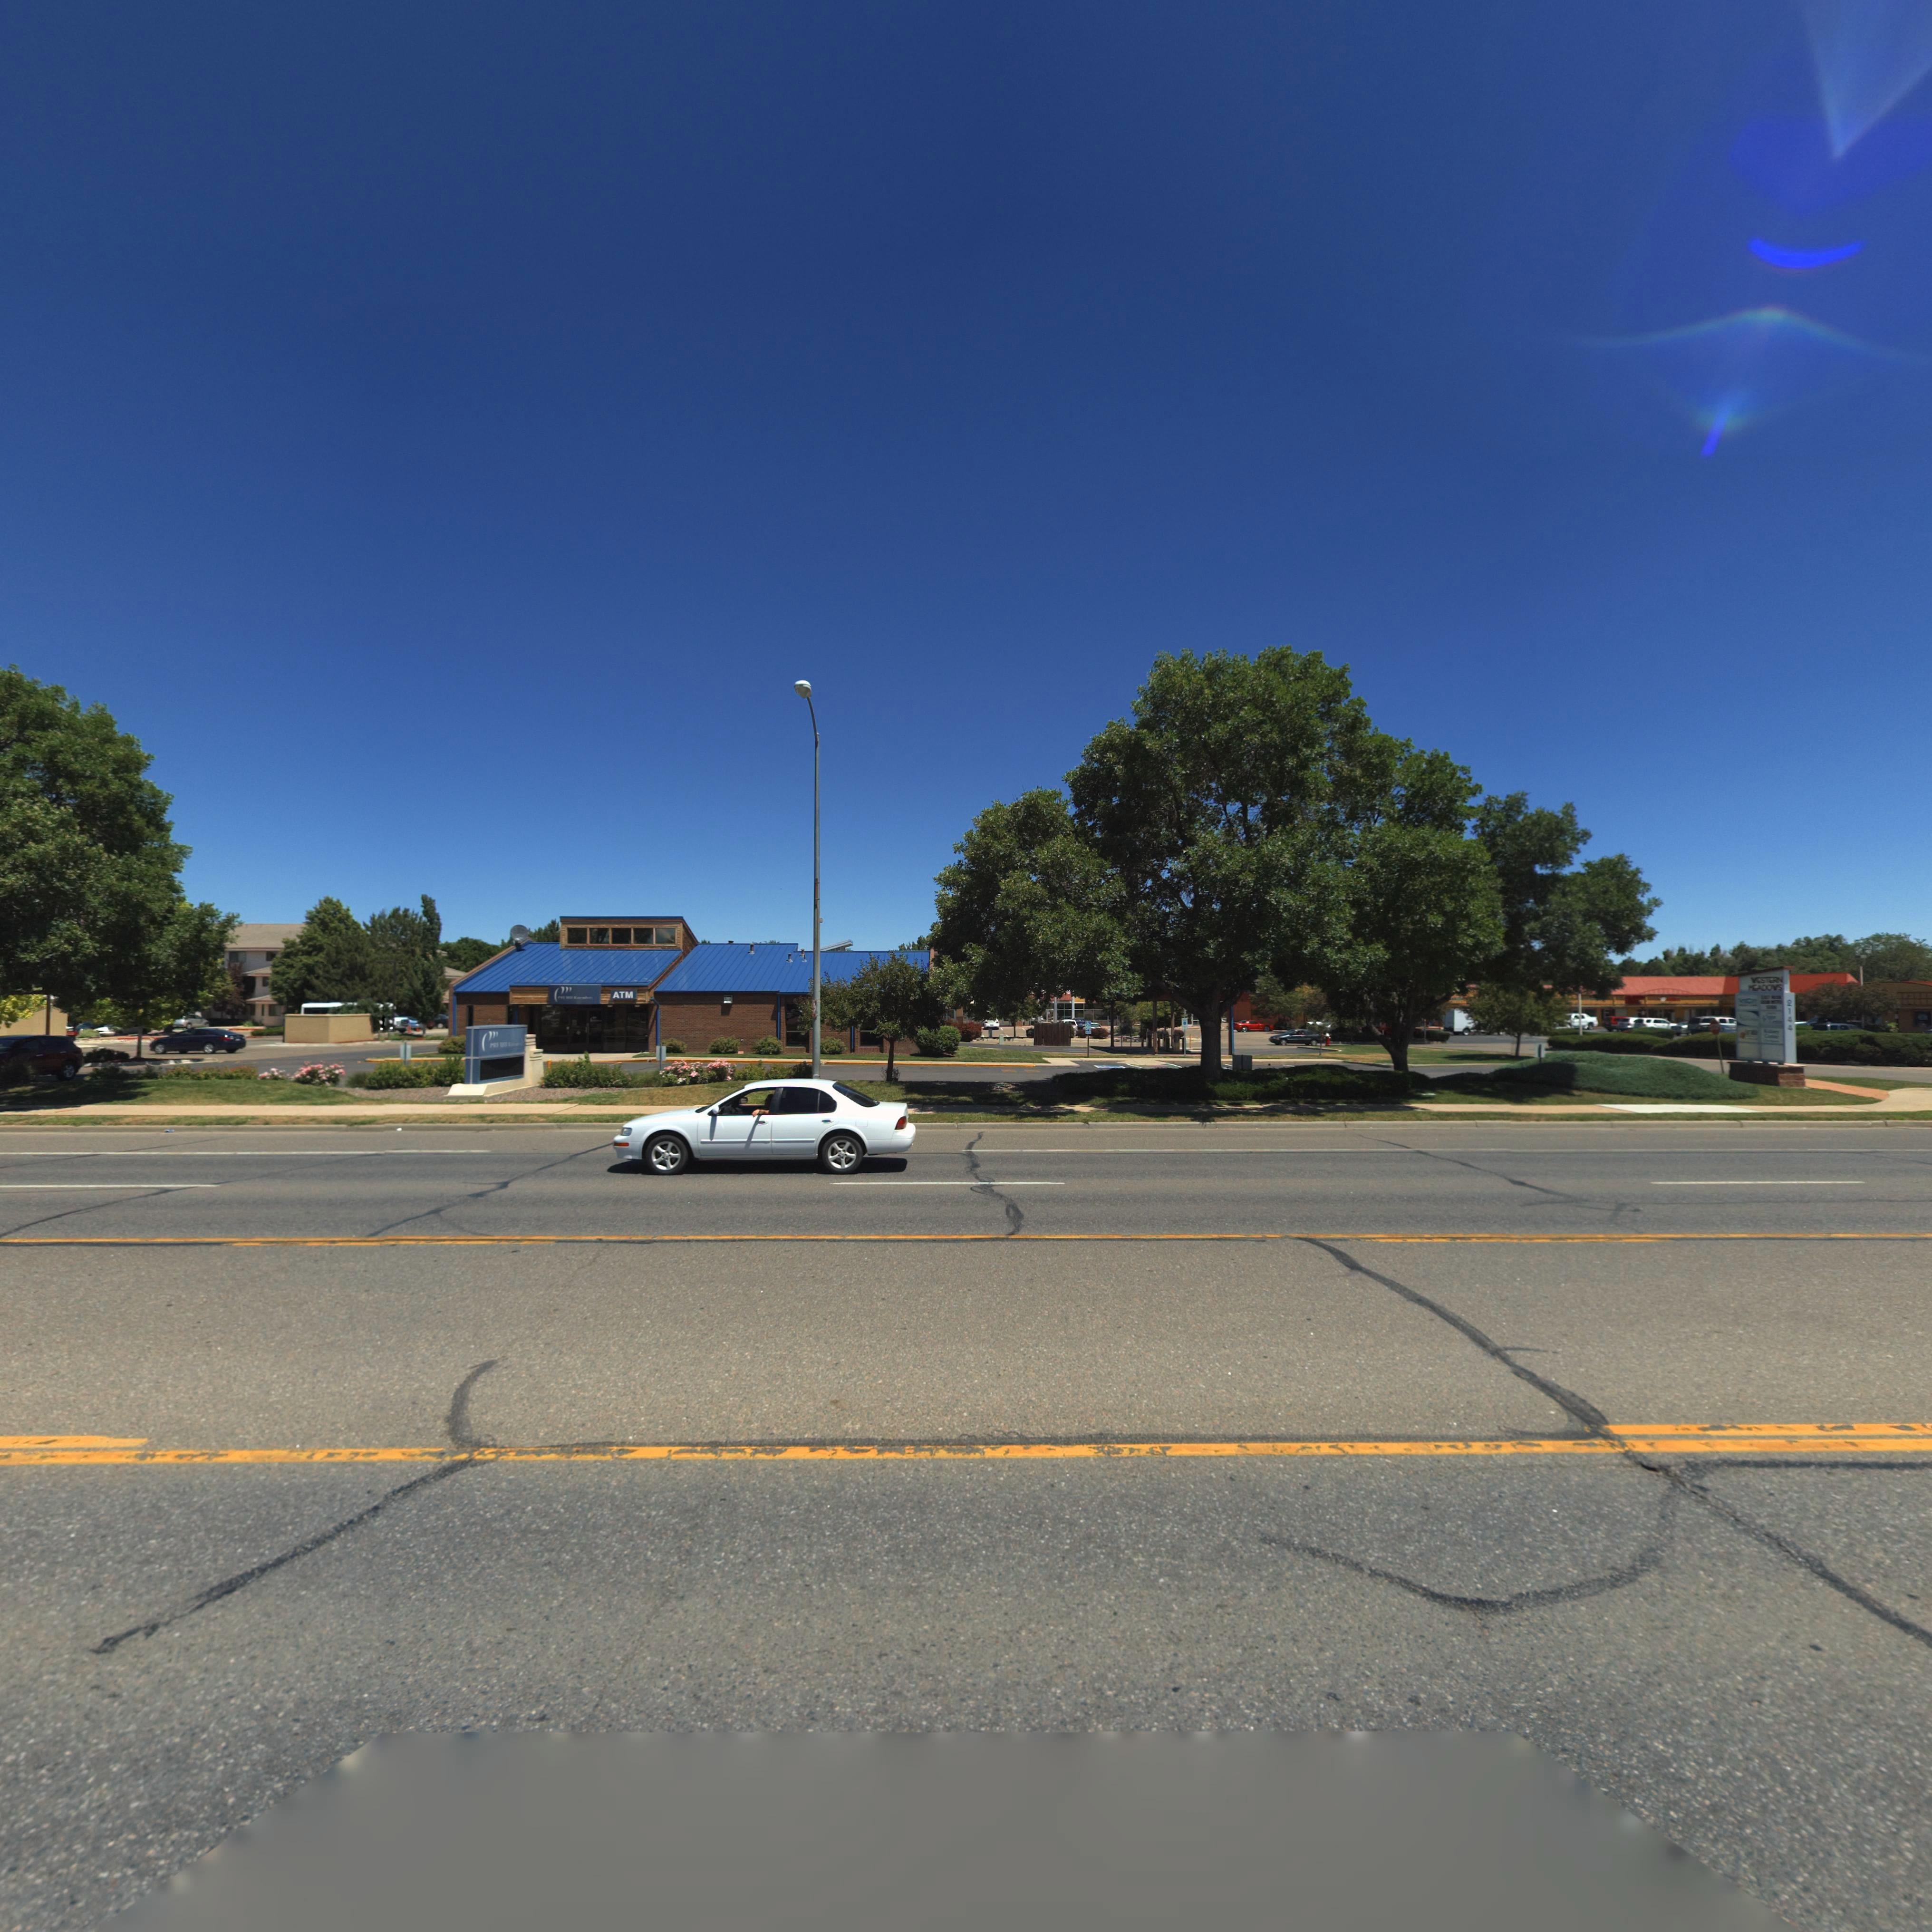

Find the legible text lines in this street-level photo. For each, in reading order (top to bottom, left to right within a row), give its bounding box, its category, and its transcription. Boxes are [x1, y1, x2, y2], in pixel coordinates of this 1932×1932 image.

[1738, 997, 1757, 1004] BusinessName: ***C***
[1787, 999, 1793, 1031] BusinessName: 2144